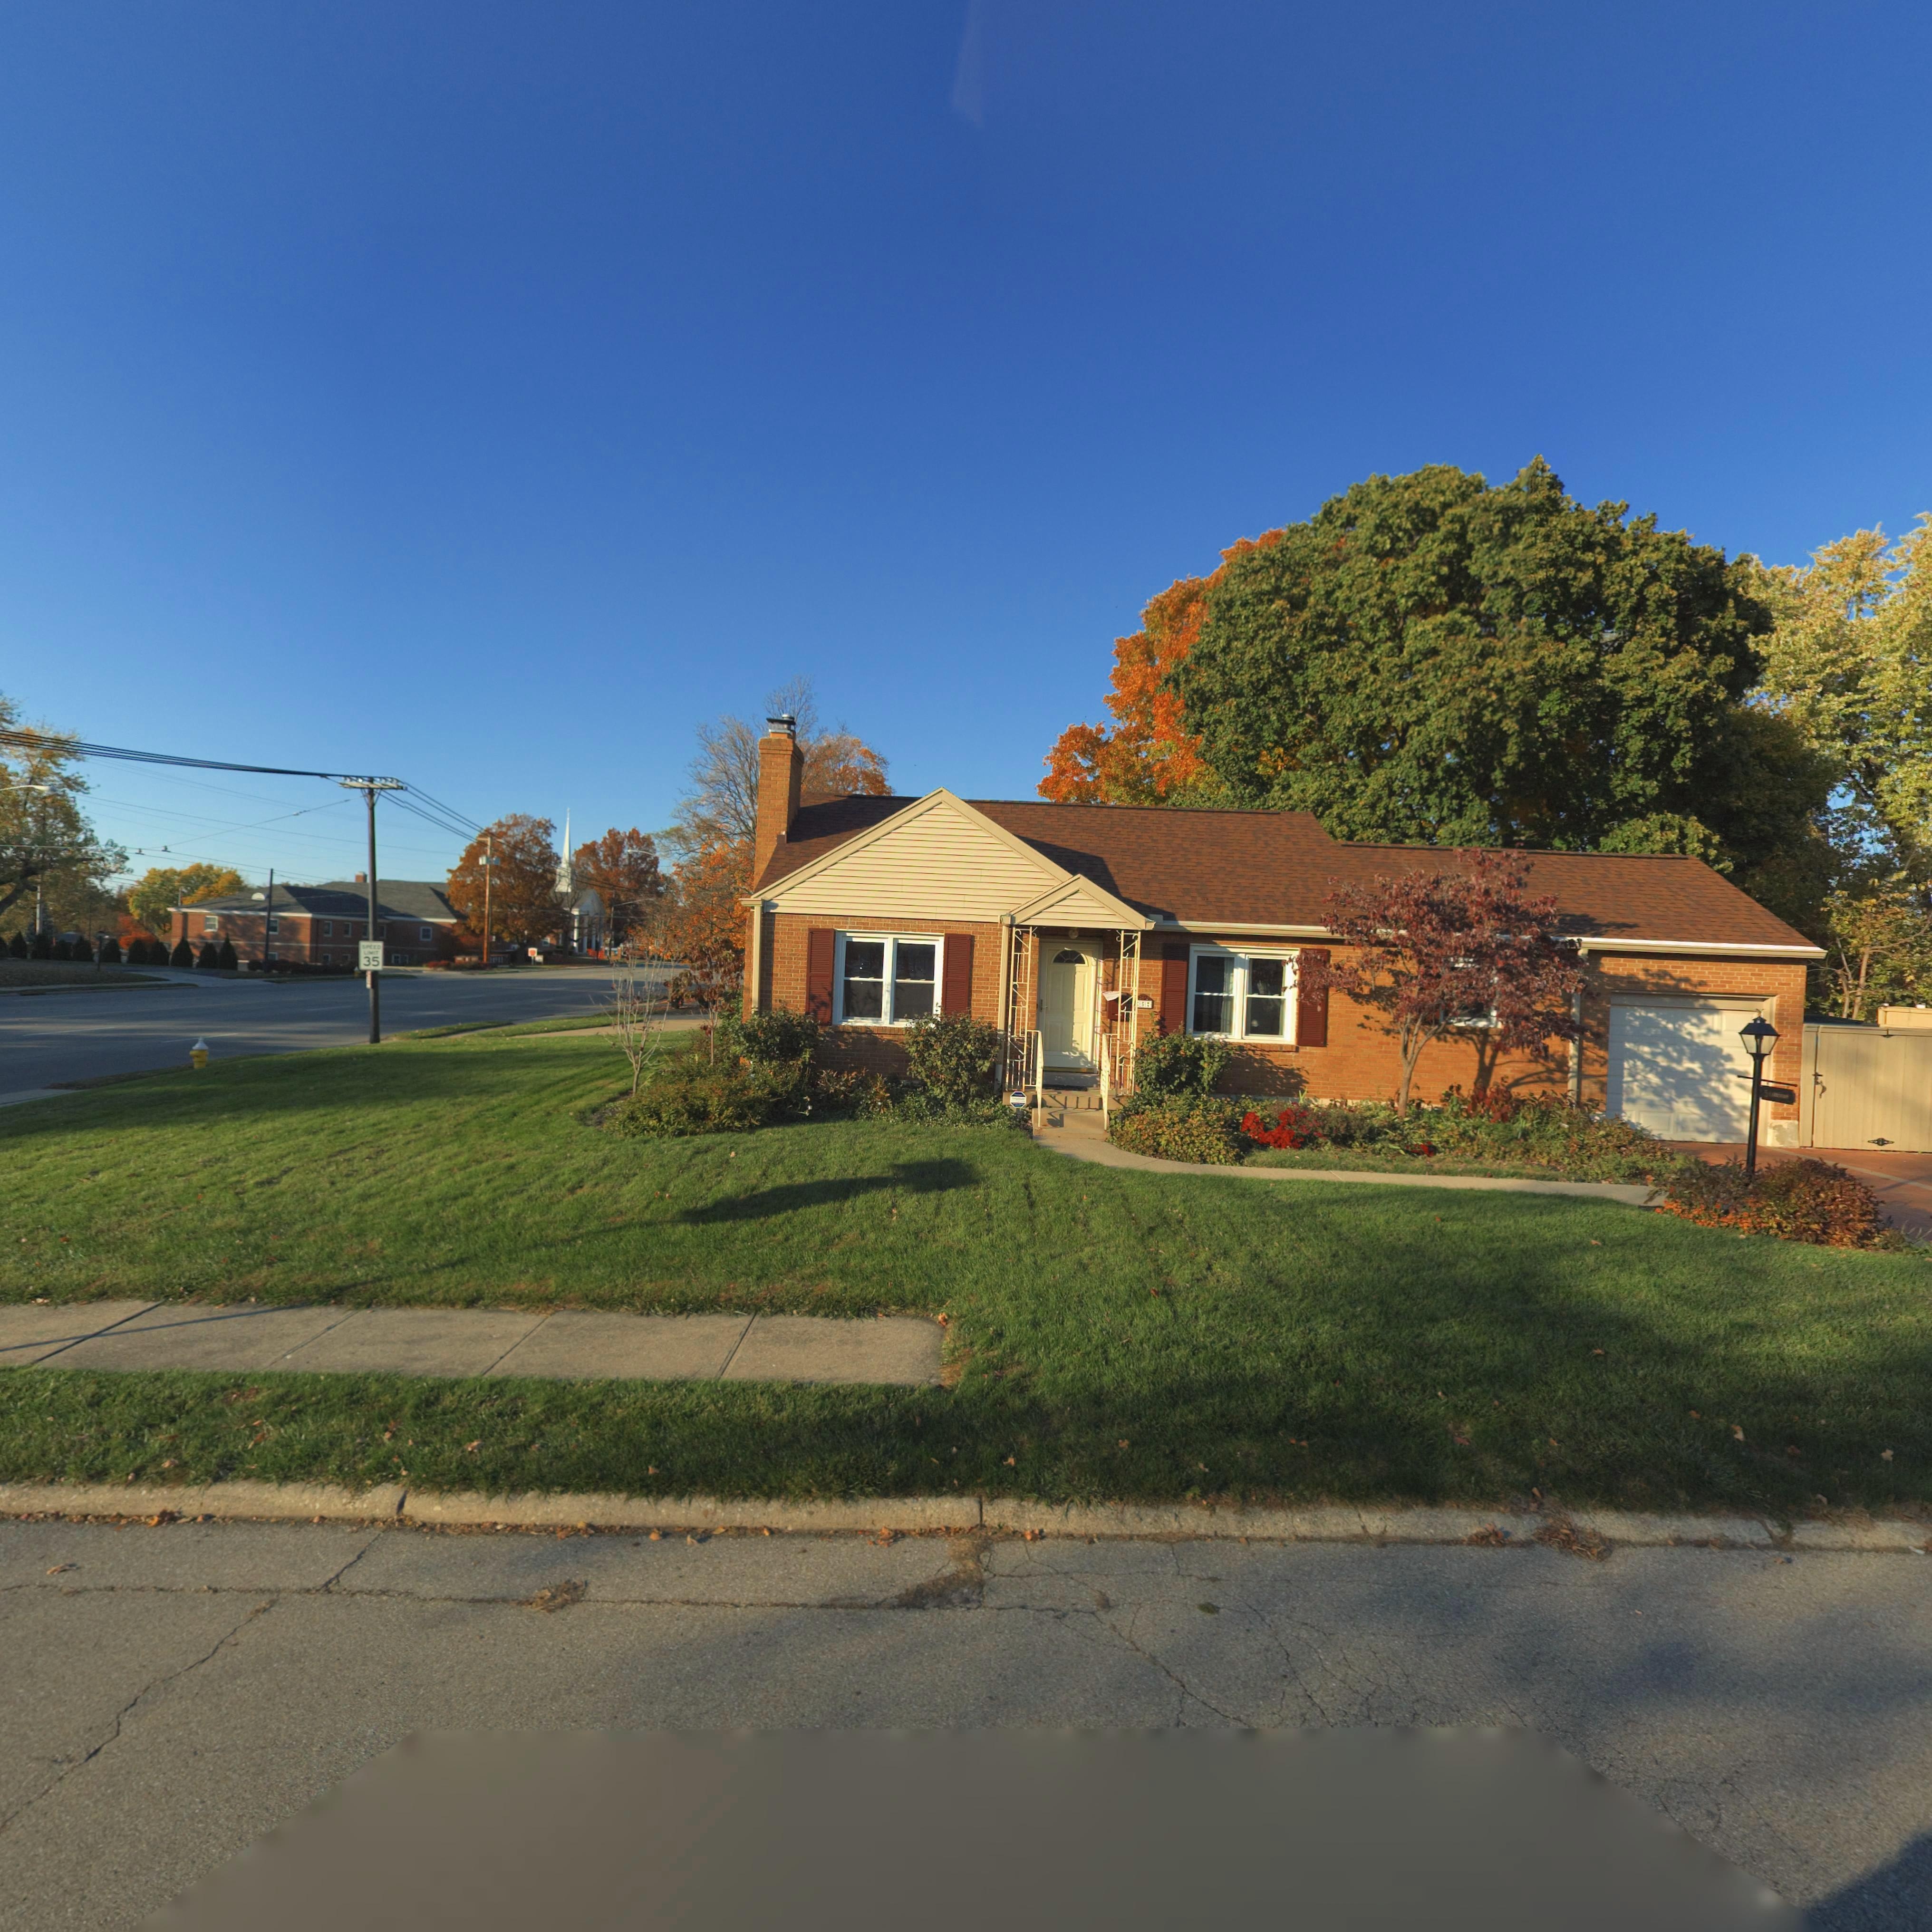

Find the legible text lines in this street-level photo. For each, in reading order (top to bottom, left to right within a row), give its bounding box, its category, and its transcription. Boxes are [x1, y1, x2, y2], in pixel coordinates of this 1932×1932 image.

[1136, 1001, 1150, 1007] StreetNumber: *57